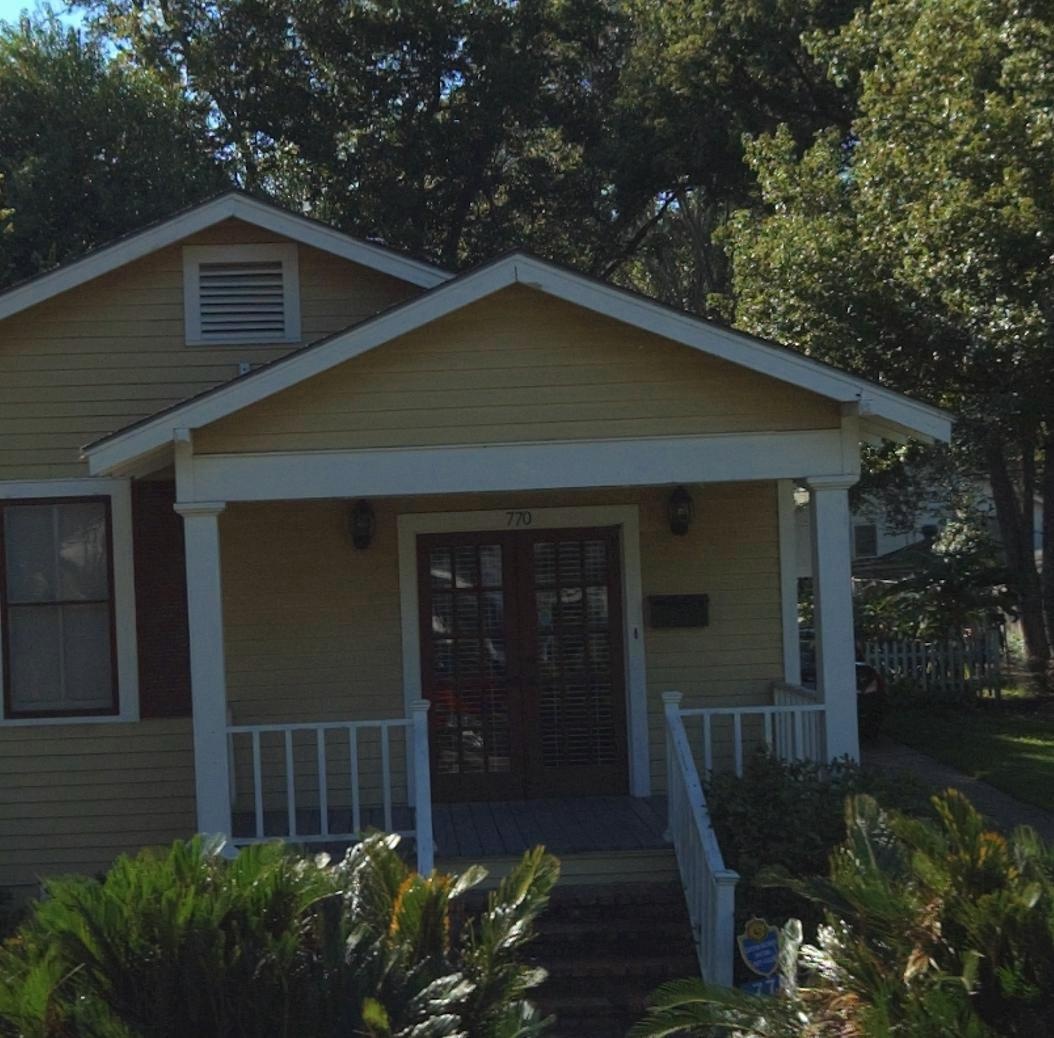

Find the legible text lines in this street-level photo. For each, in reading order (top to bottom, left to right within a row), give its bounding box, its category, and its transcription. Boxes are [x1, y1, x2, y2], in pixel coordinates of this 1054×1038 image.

[504, 509, 534, 528] StreetNumber: 770
[748, 975, 777, 1000] StreetNumber: 77